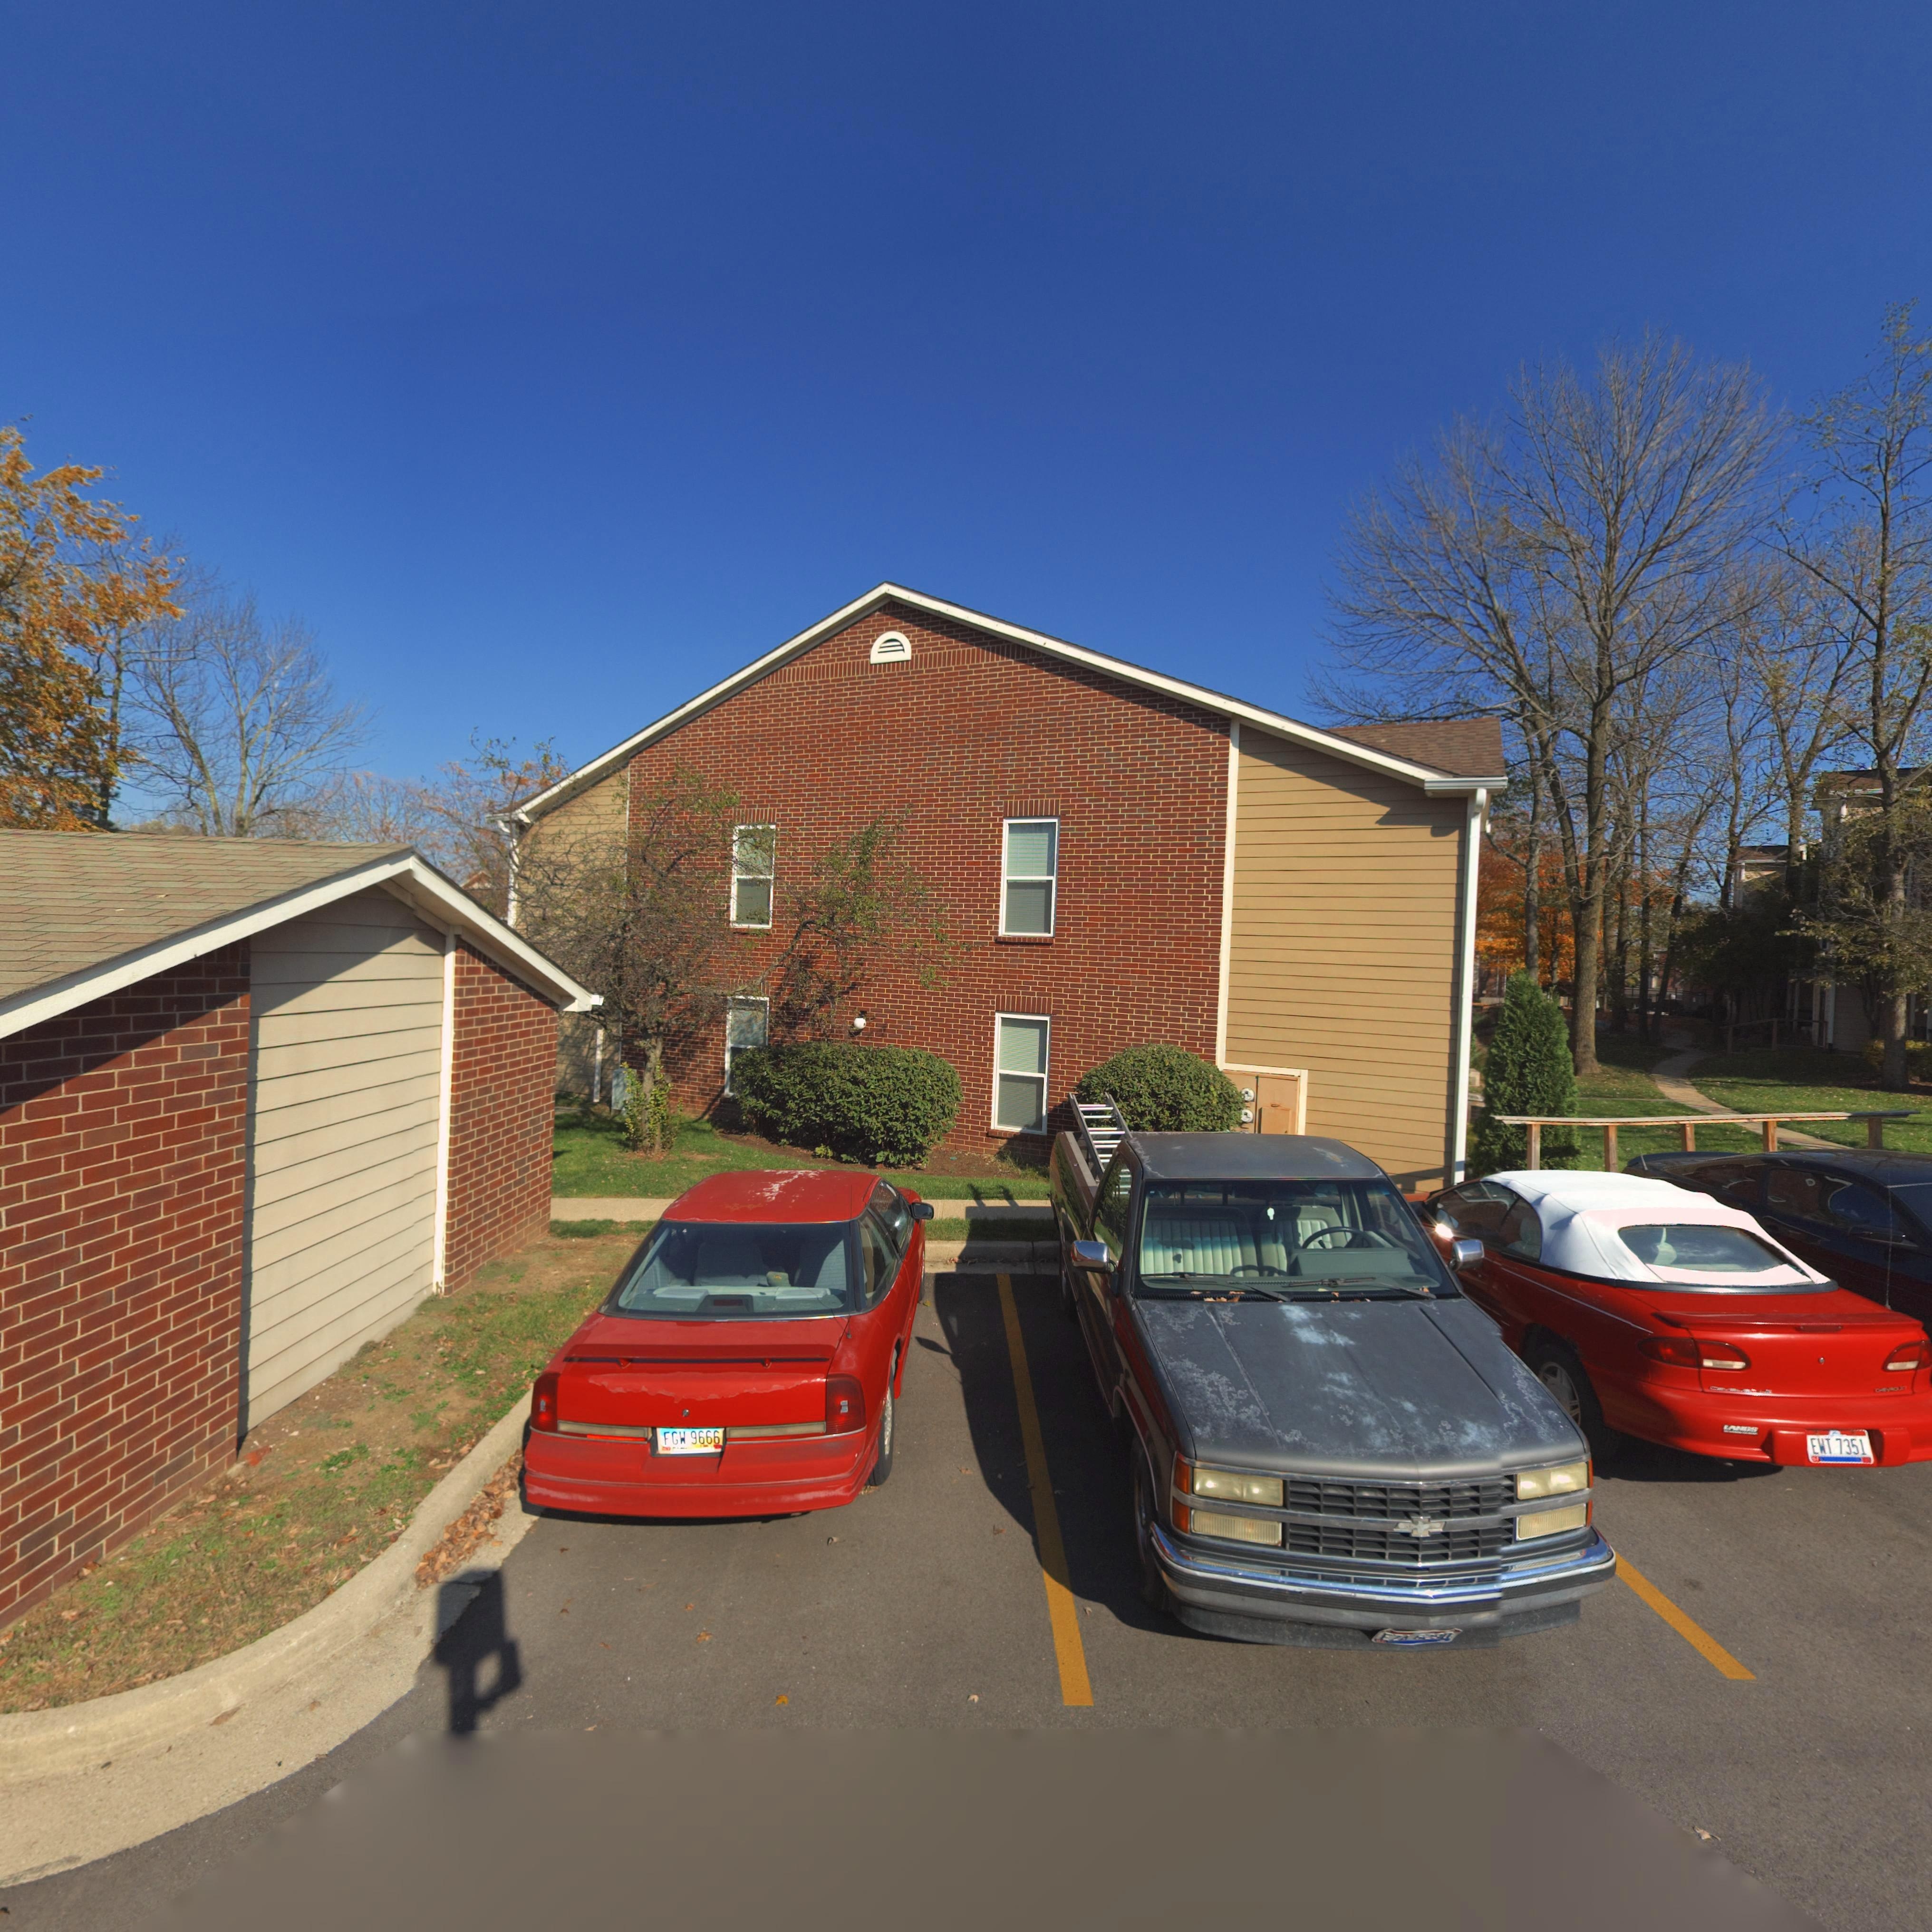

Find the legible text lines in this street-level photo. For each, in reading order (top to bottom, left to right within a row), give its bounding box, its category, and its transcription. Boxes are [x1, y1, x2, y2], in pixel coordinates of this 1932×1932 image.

[662, 1429, 722, 1447] None: FGW 9666
[1808, 1437, 1868, 1456] None: EWT 7351